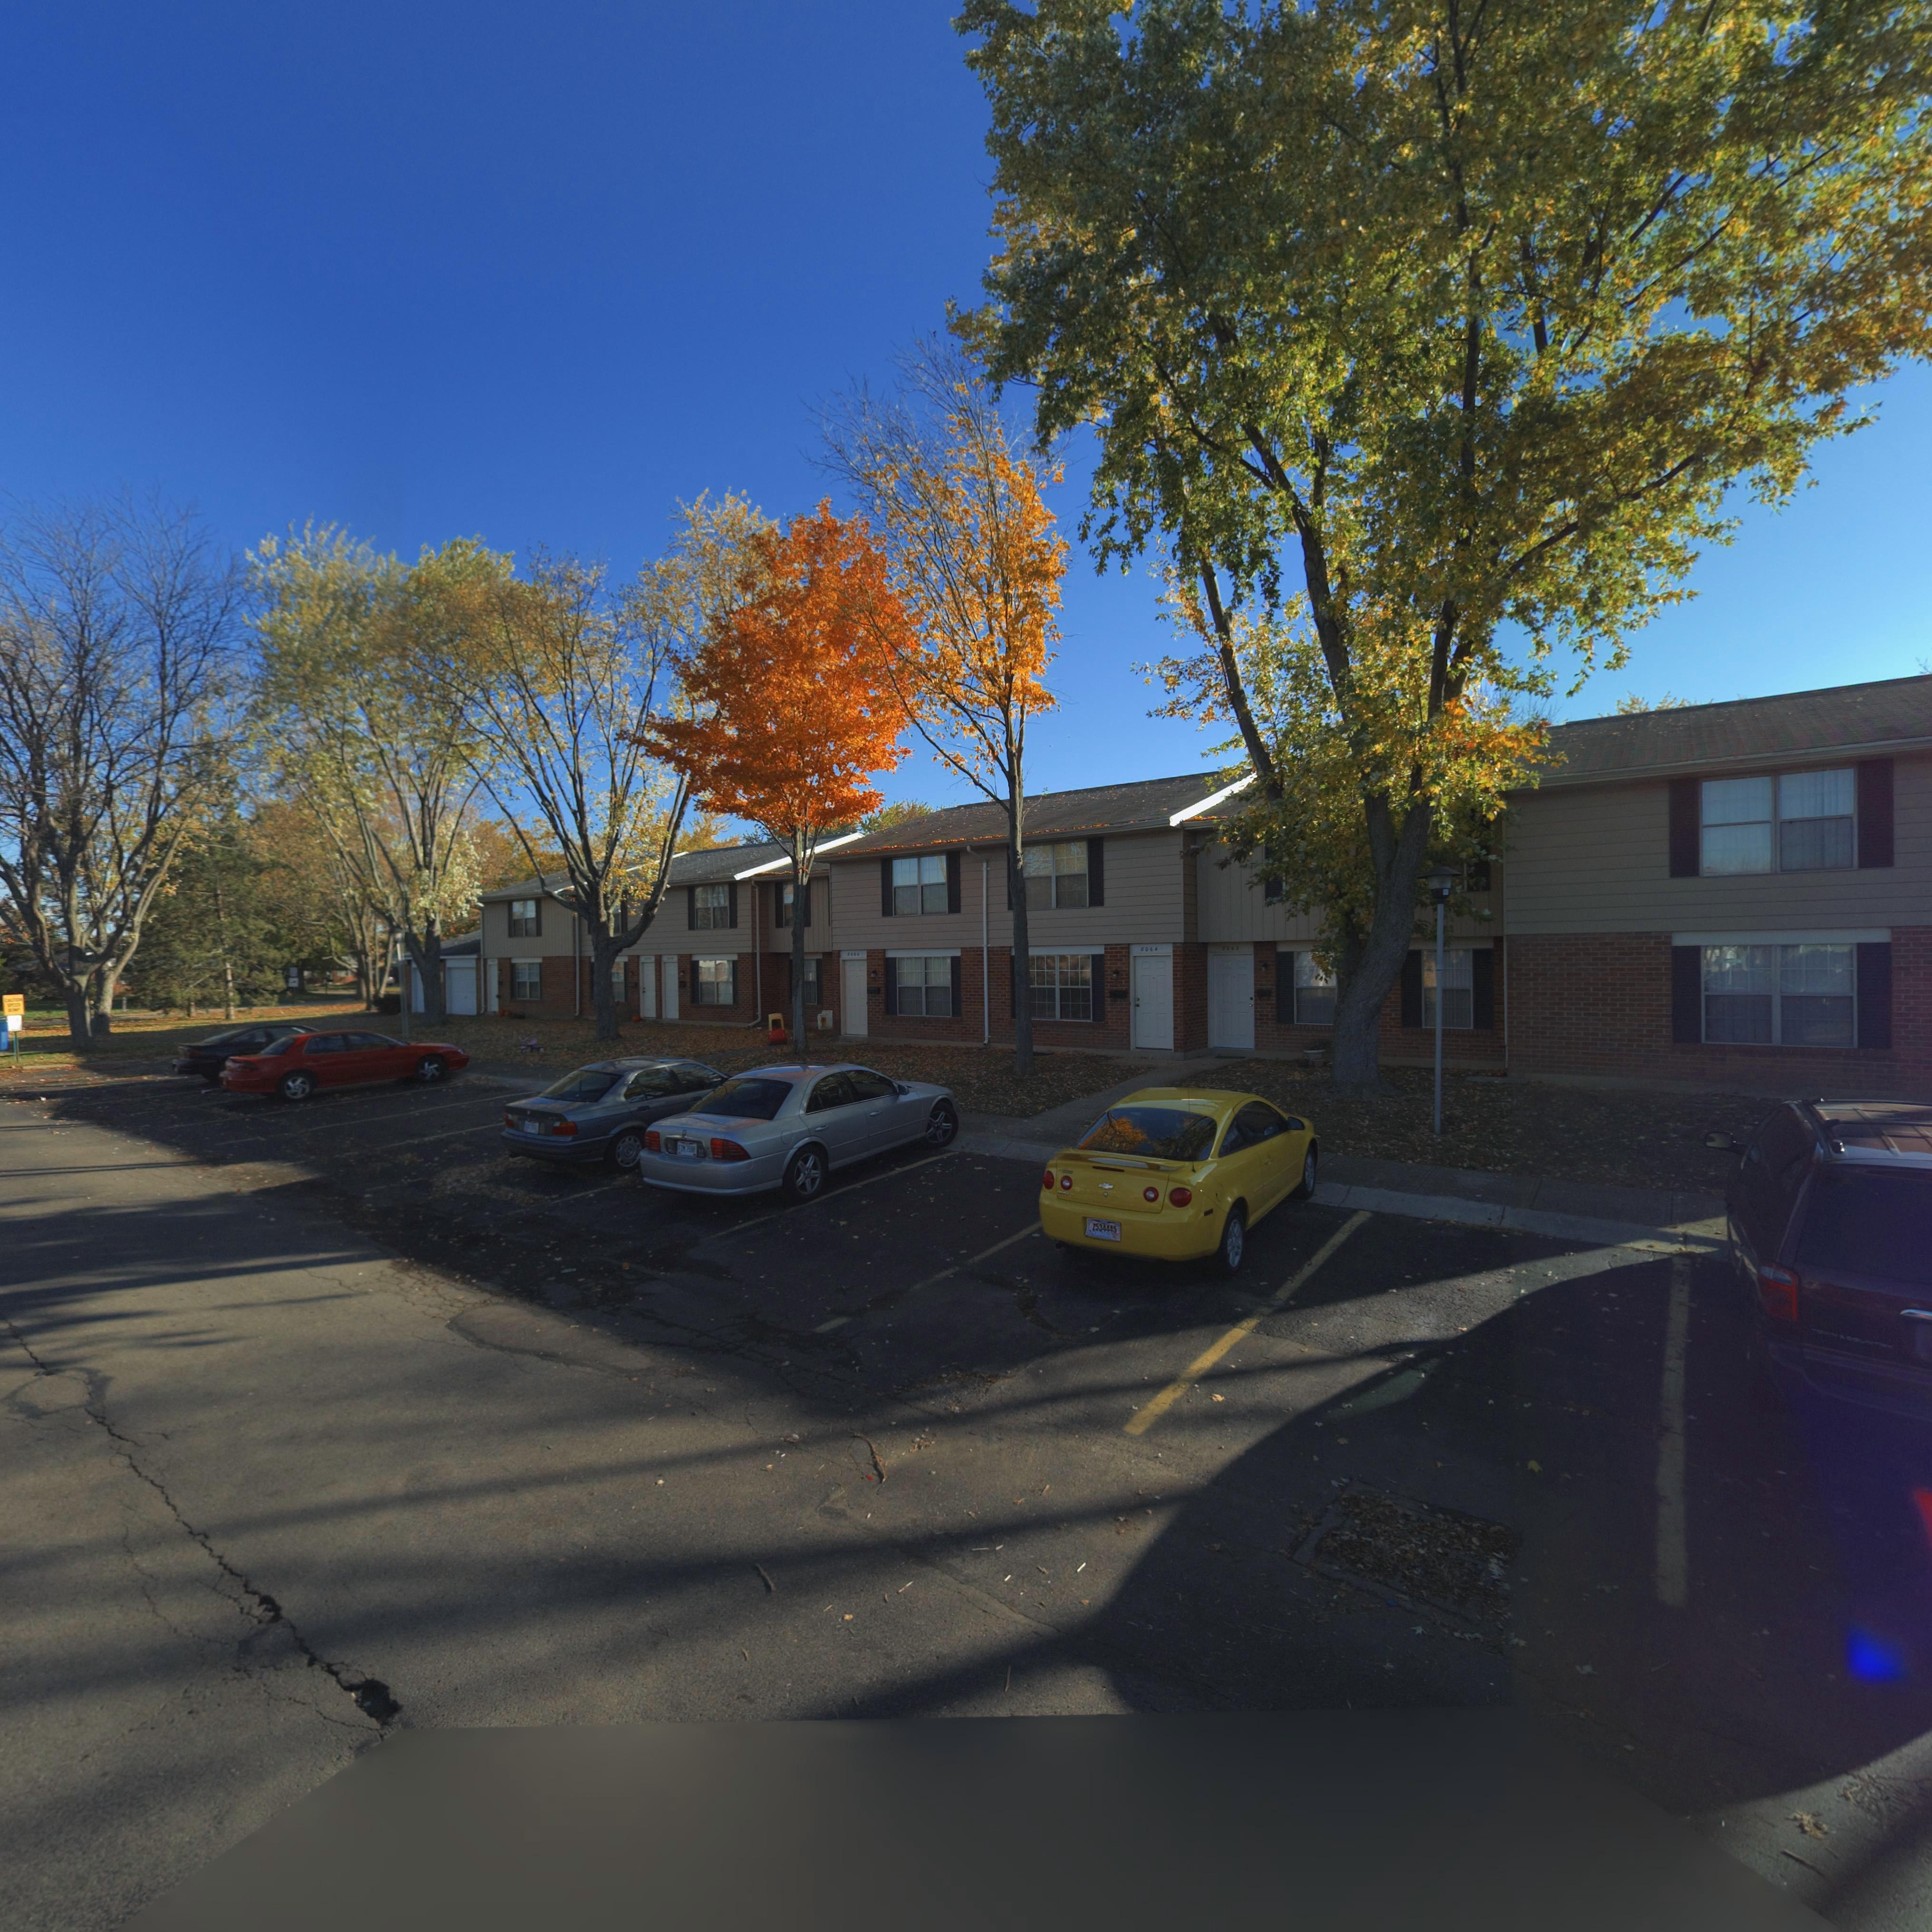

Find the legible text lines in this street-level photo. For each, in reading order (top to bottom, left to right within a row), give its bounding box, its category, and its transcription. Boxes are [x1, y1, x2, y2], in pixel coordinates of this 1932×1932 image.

[1140, 946, 1159, 953] StreetNumber: 806*
[1221, 945, 1240, 951] StreetNumber: *0**
[1090, 1221, 1118, 1236] None: 2534445